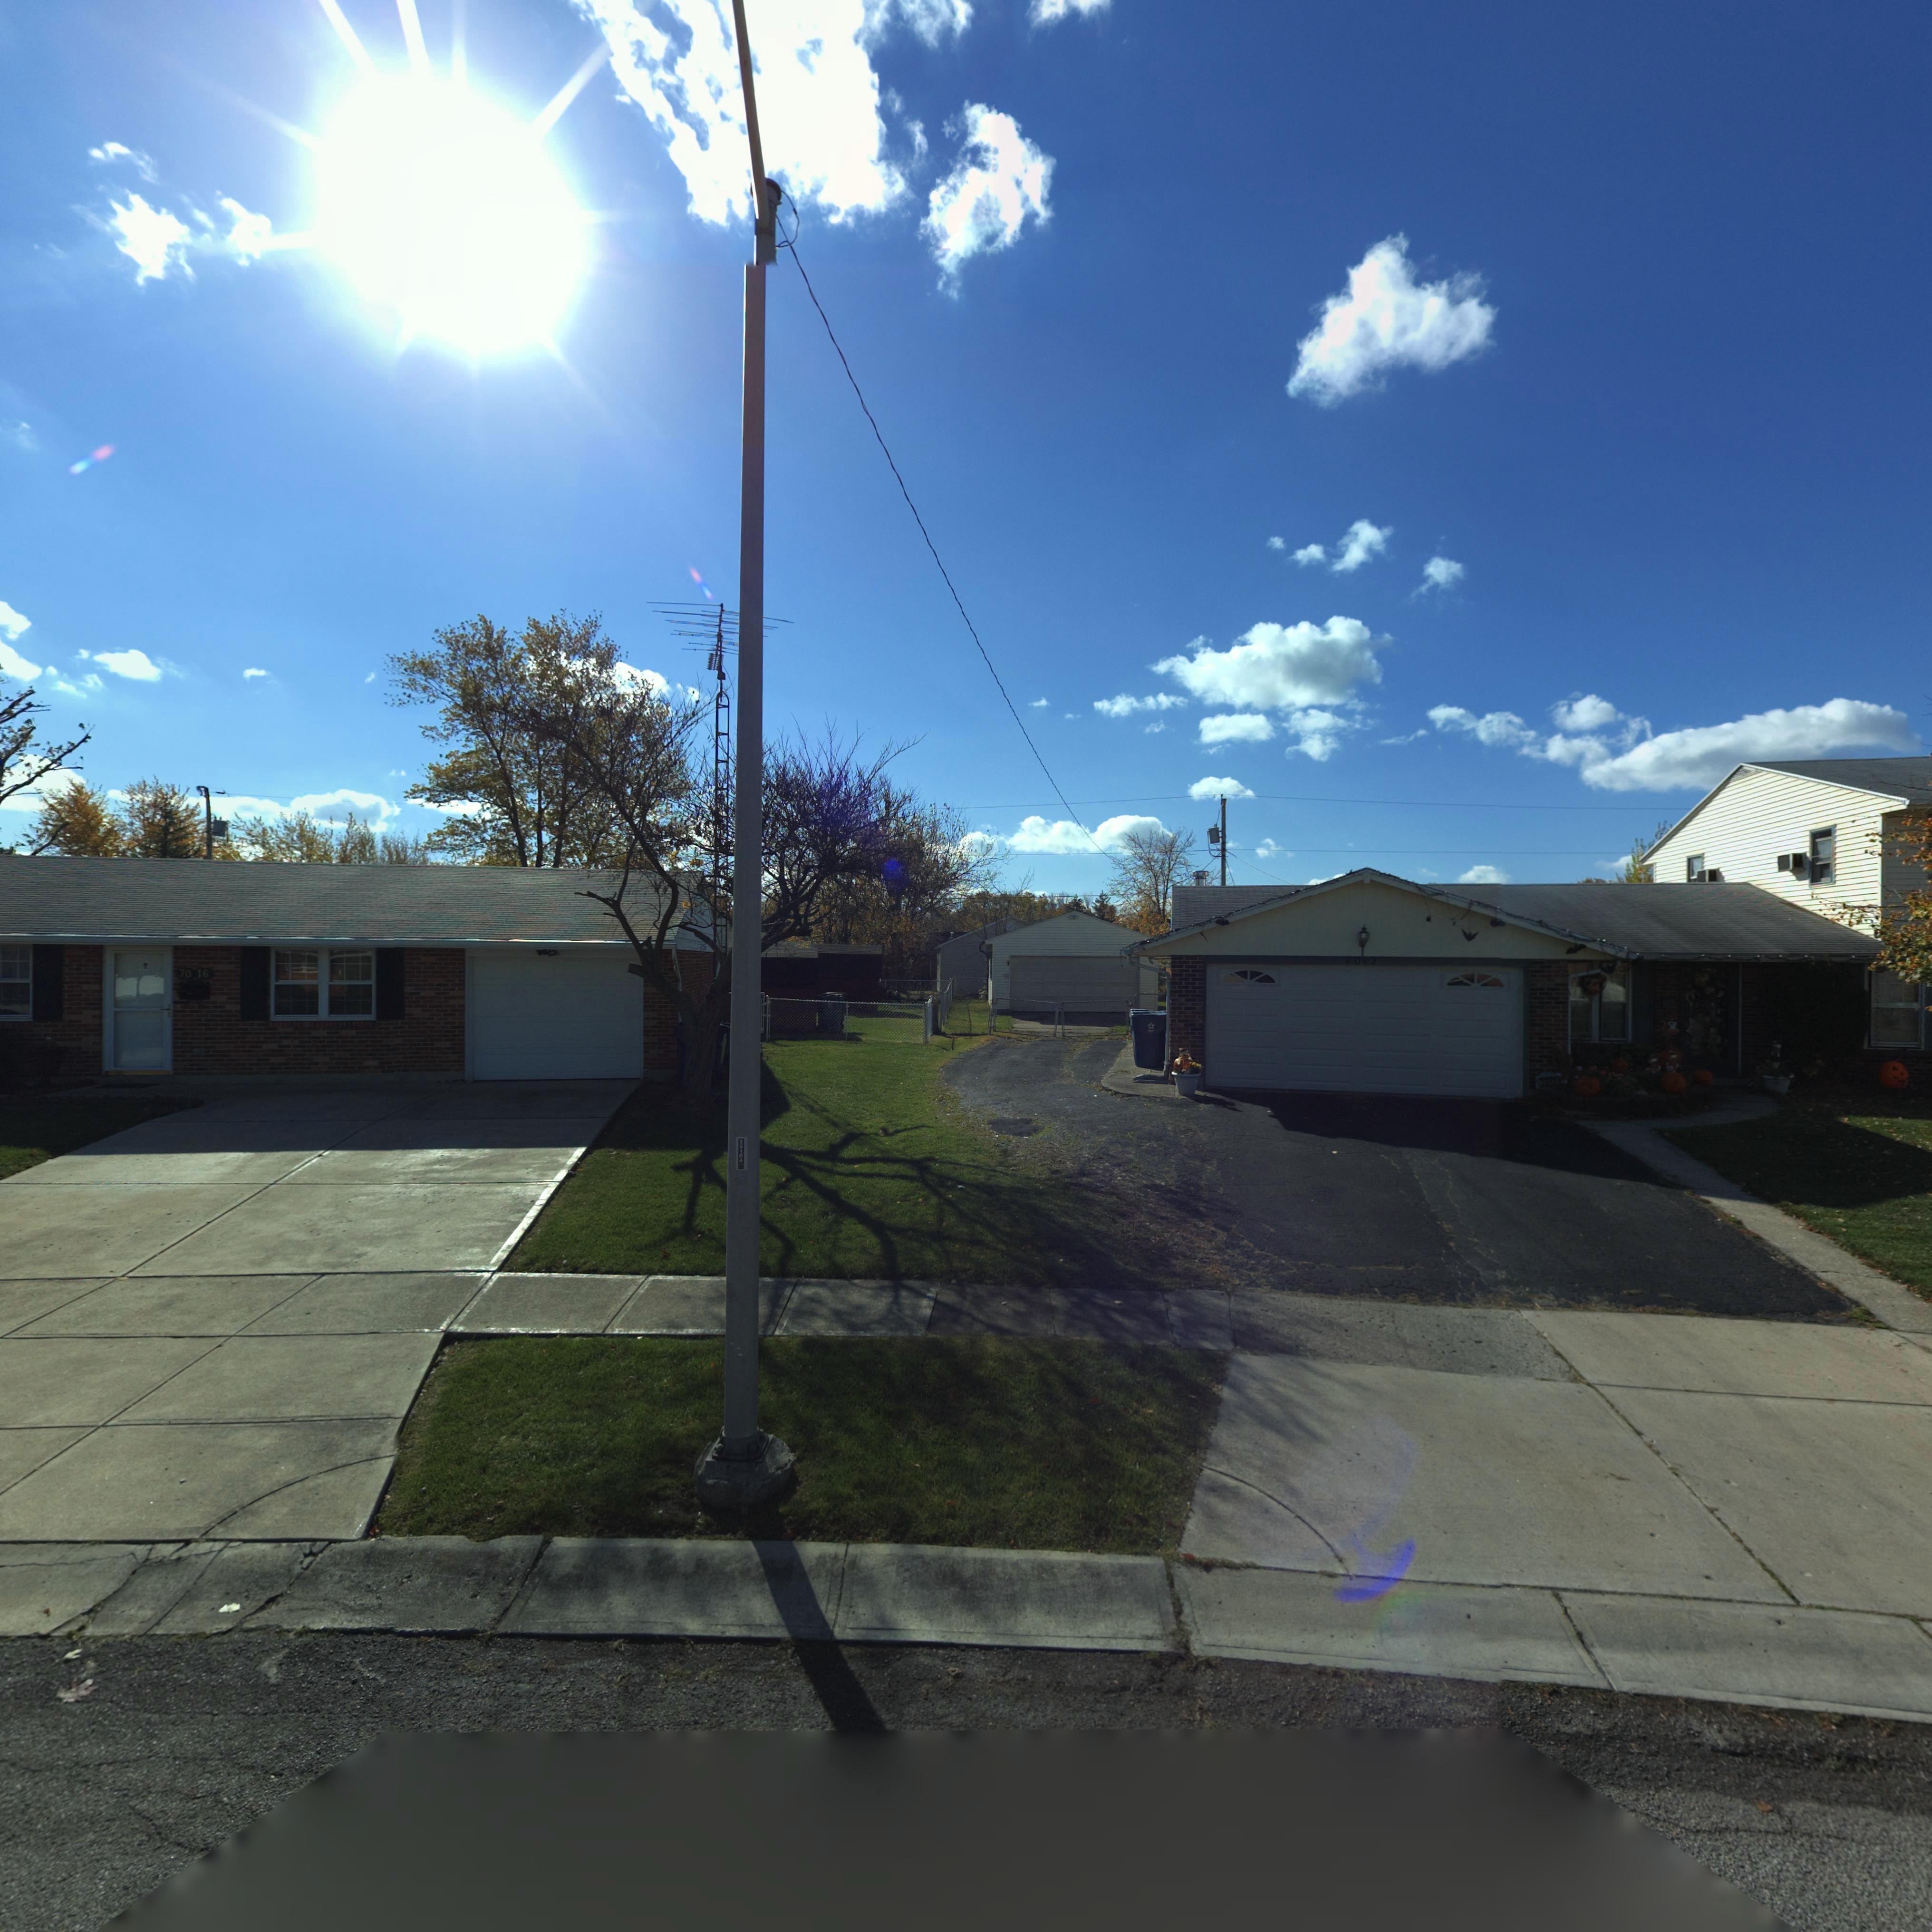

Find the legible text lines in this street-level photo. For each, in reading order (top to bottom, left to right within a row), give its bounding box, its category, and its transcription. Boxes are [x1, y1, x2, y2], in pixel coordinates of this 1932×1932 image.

[1344, 956, 1379, 966] StreetNumber: *012
[178, 967, 210, 979] StreetNumber: 70*16